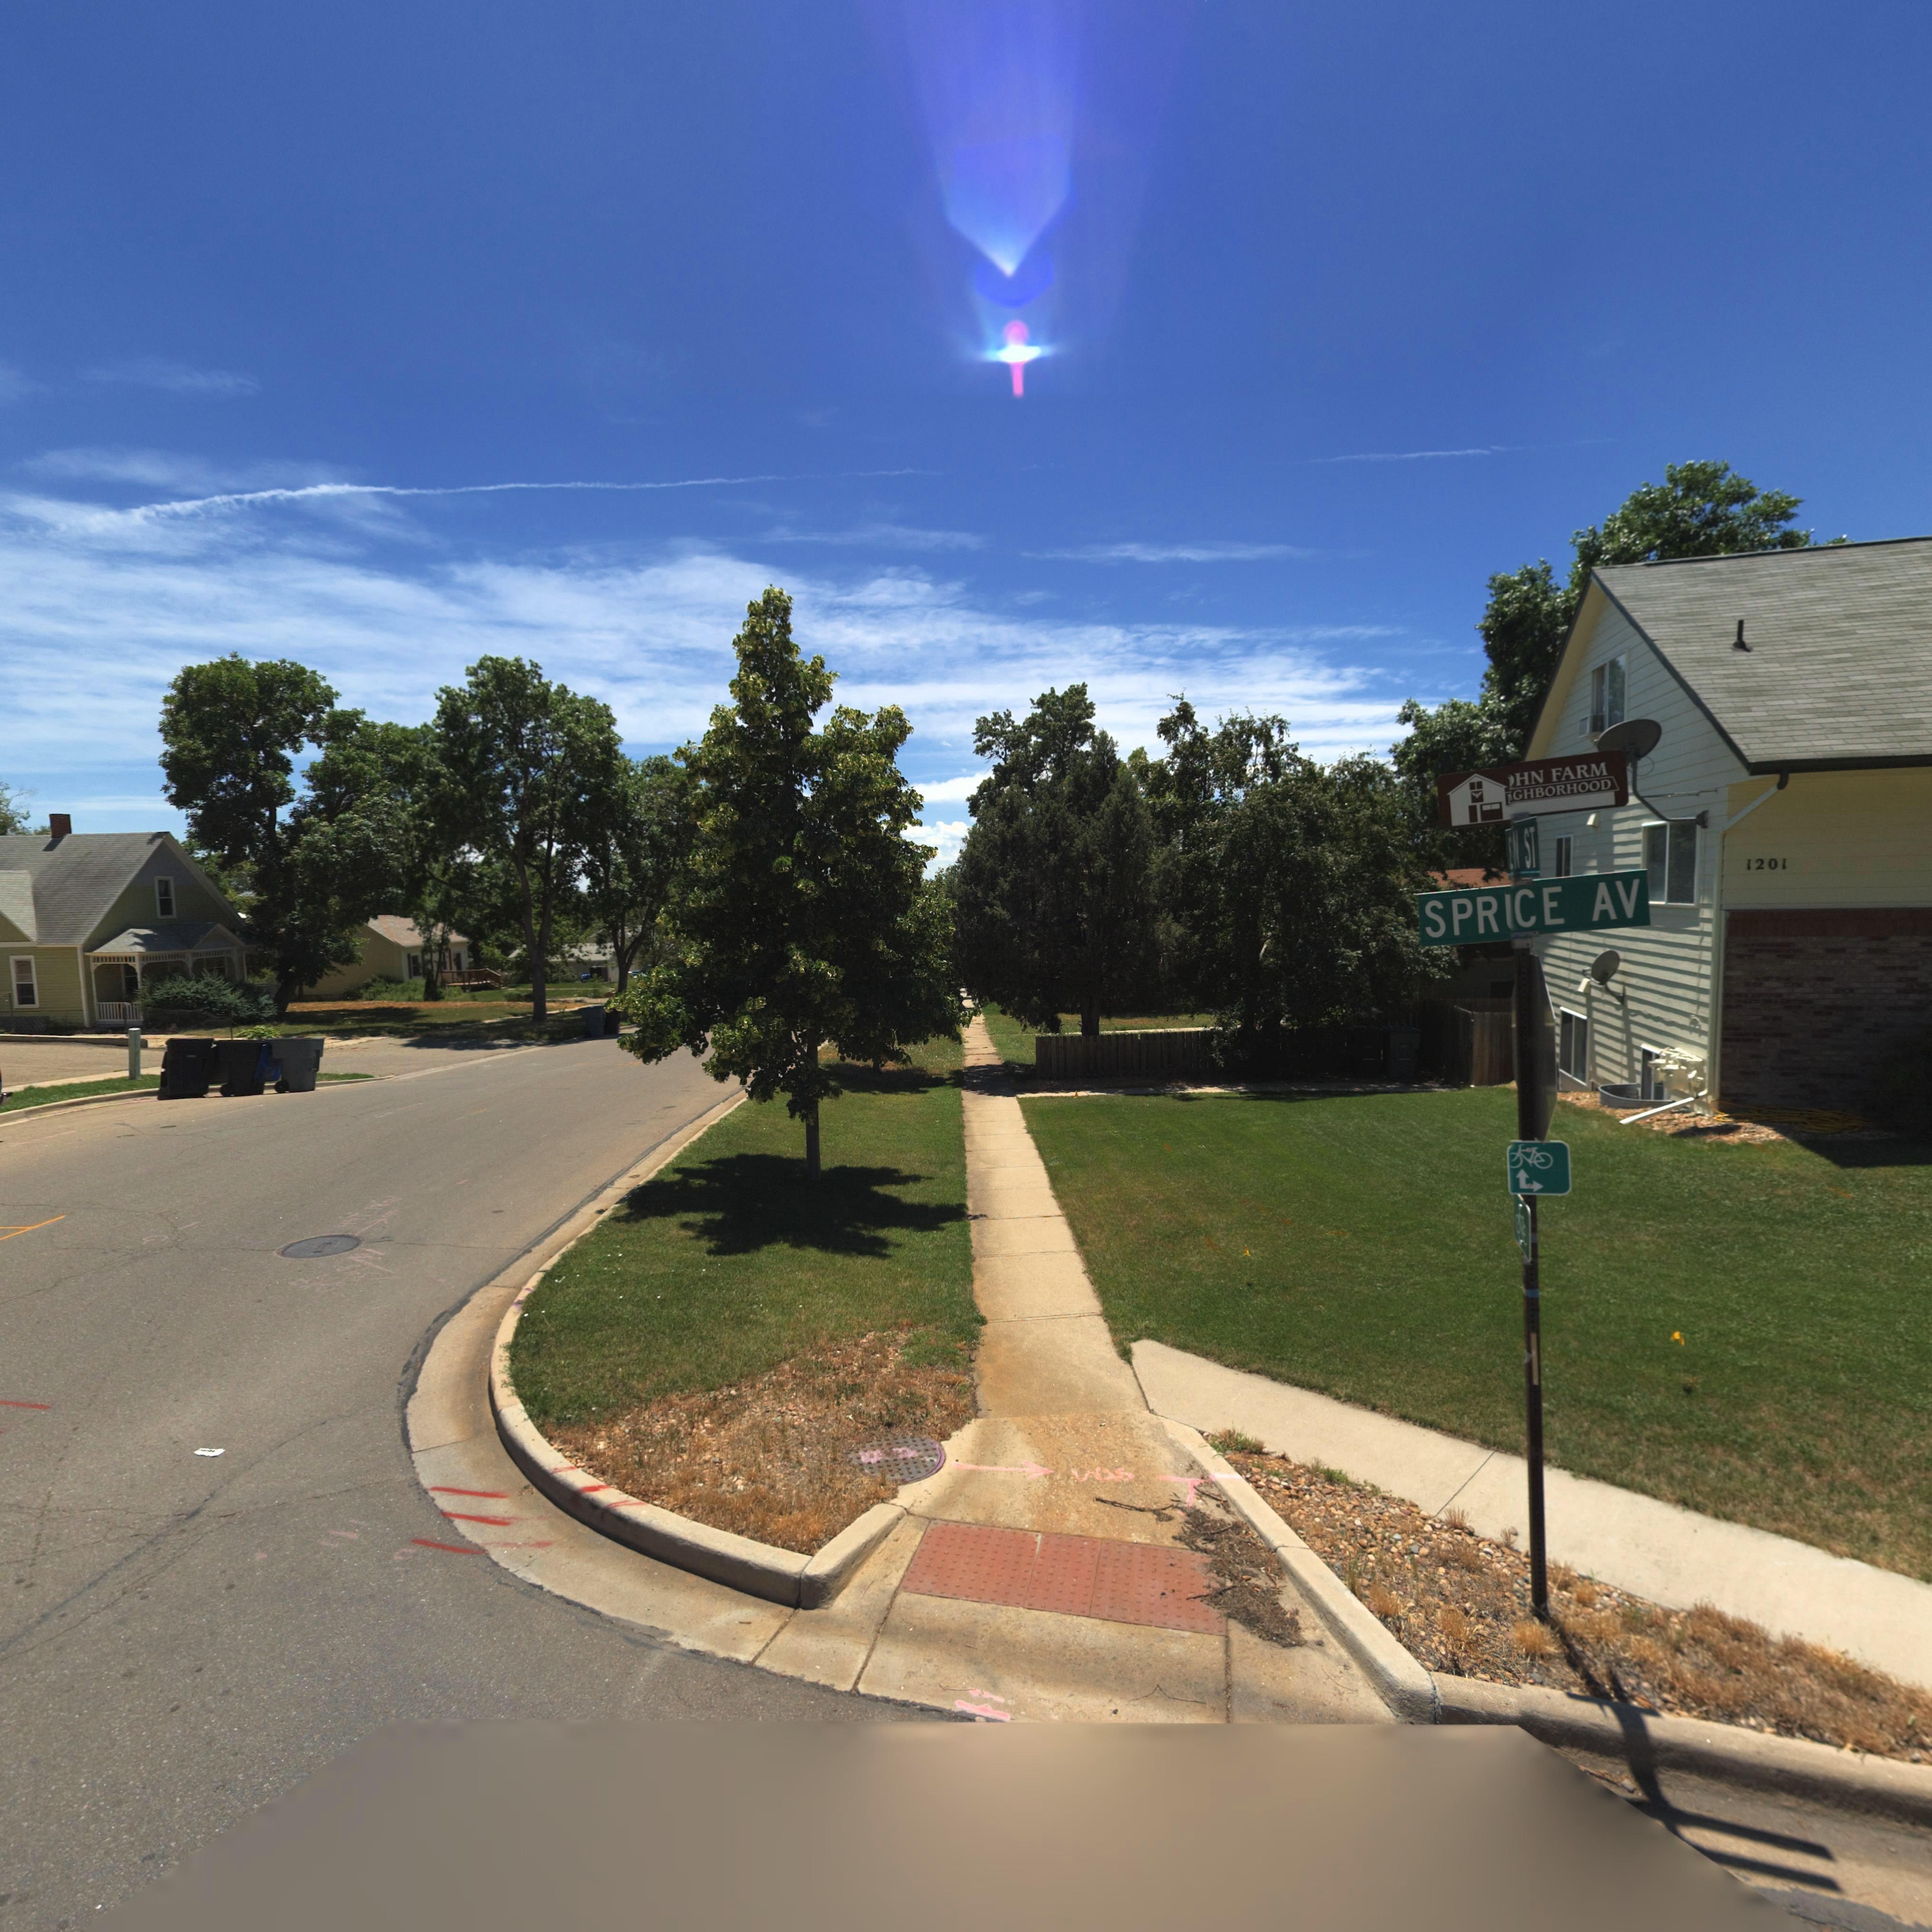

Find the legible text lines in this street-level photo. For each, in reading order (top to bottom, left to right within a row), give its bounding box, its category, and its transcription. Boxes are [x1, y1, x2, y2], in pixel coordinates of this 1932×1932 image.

[1512, 825, 1536, 869] StreetName: N ST
[1747, 858, 1787, 870] StreetNumber: 1201
[1423, 877, 1641, 938] StreetName: SPR*CE AV